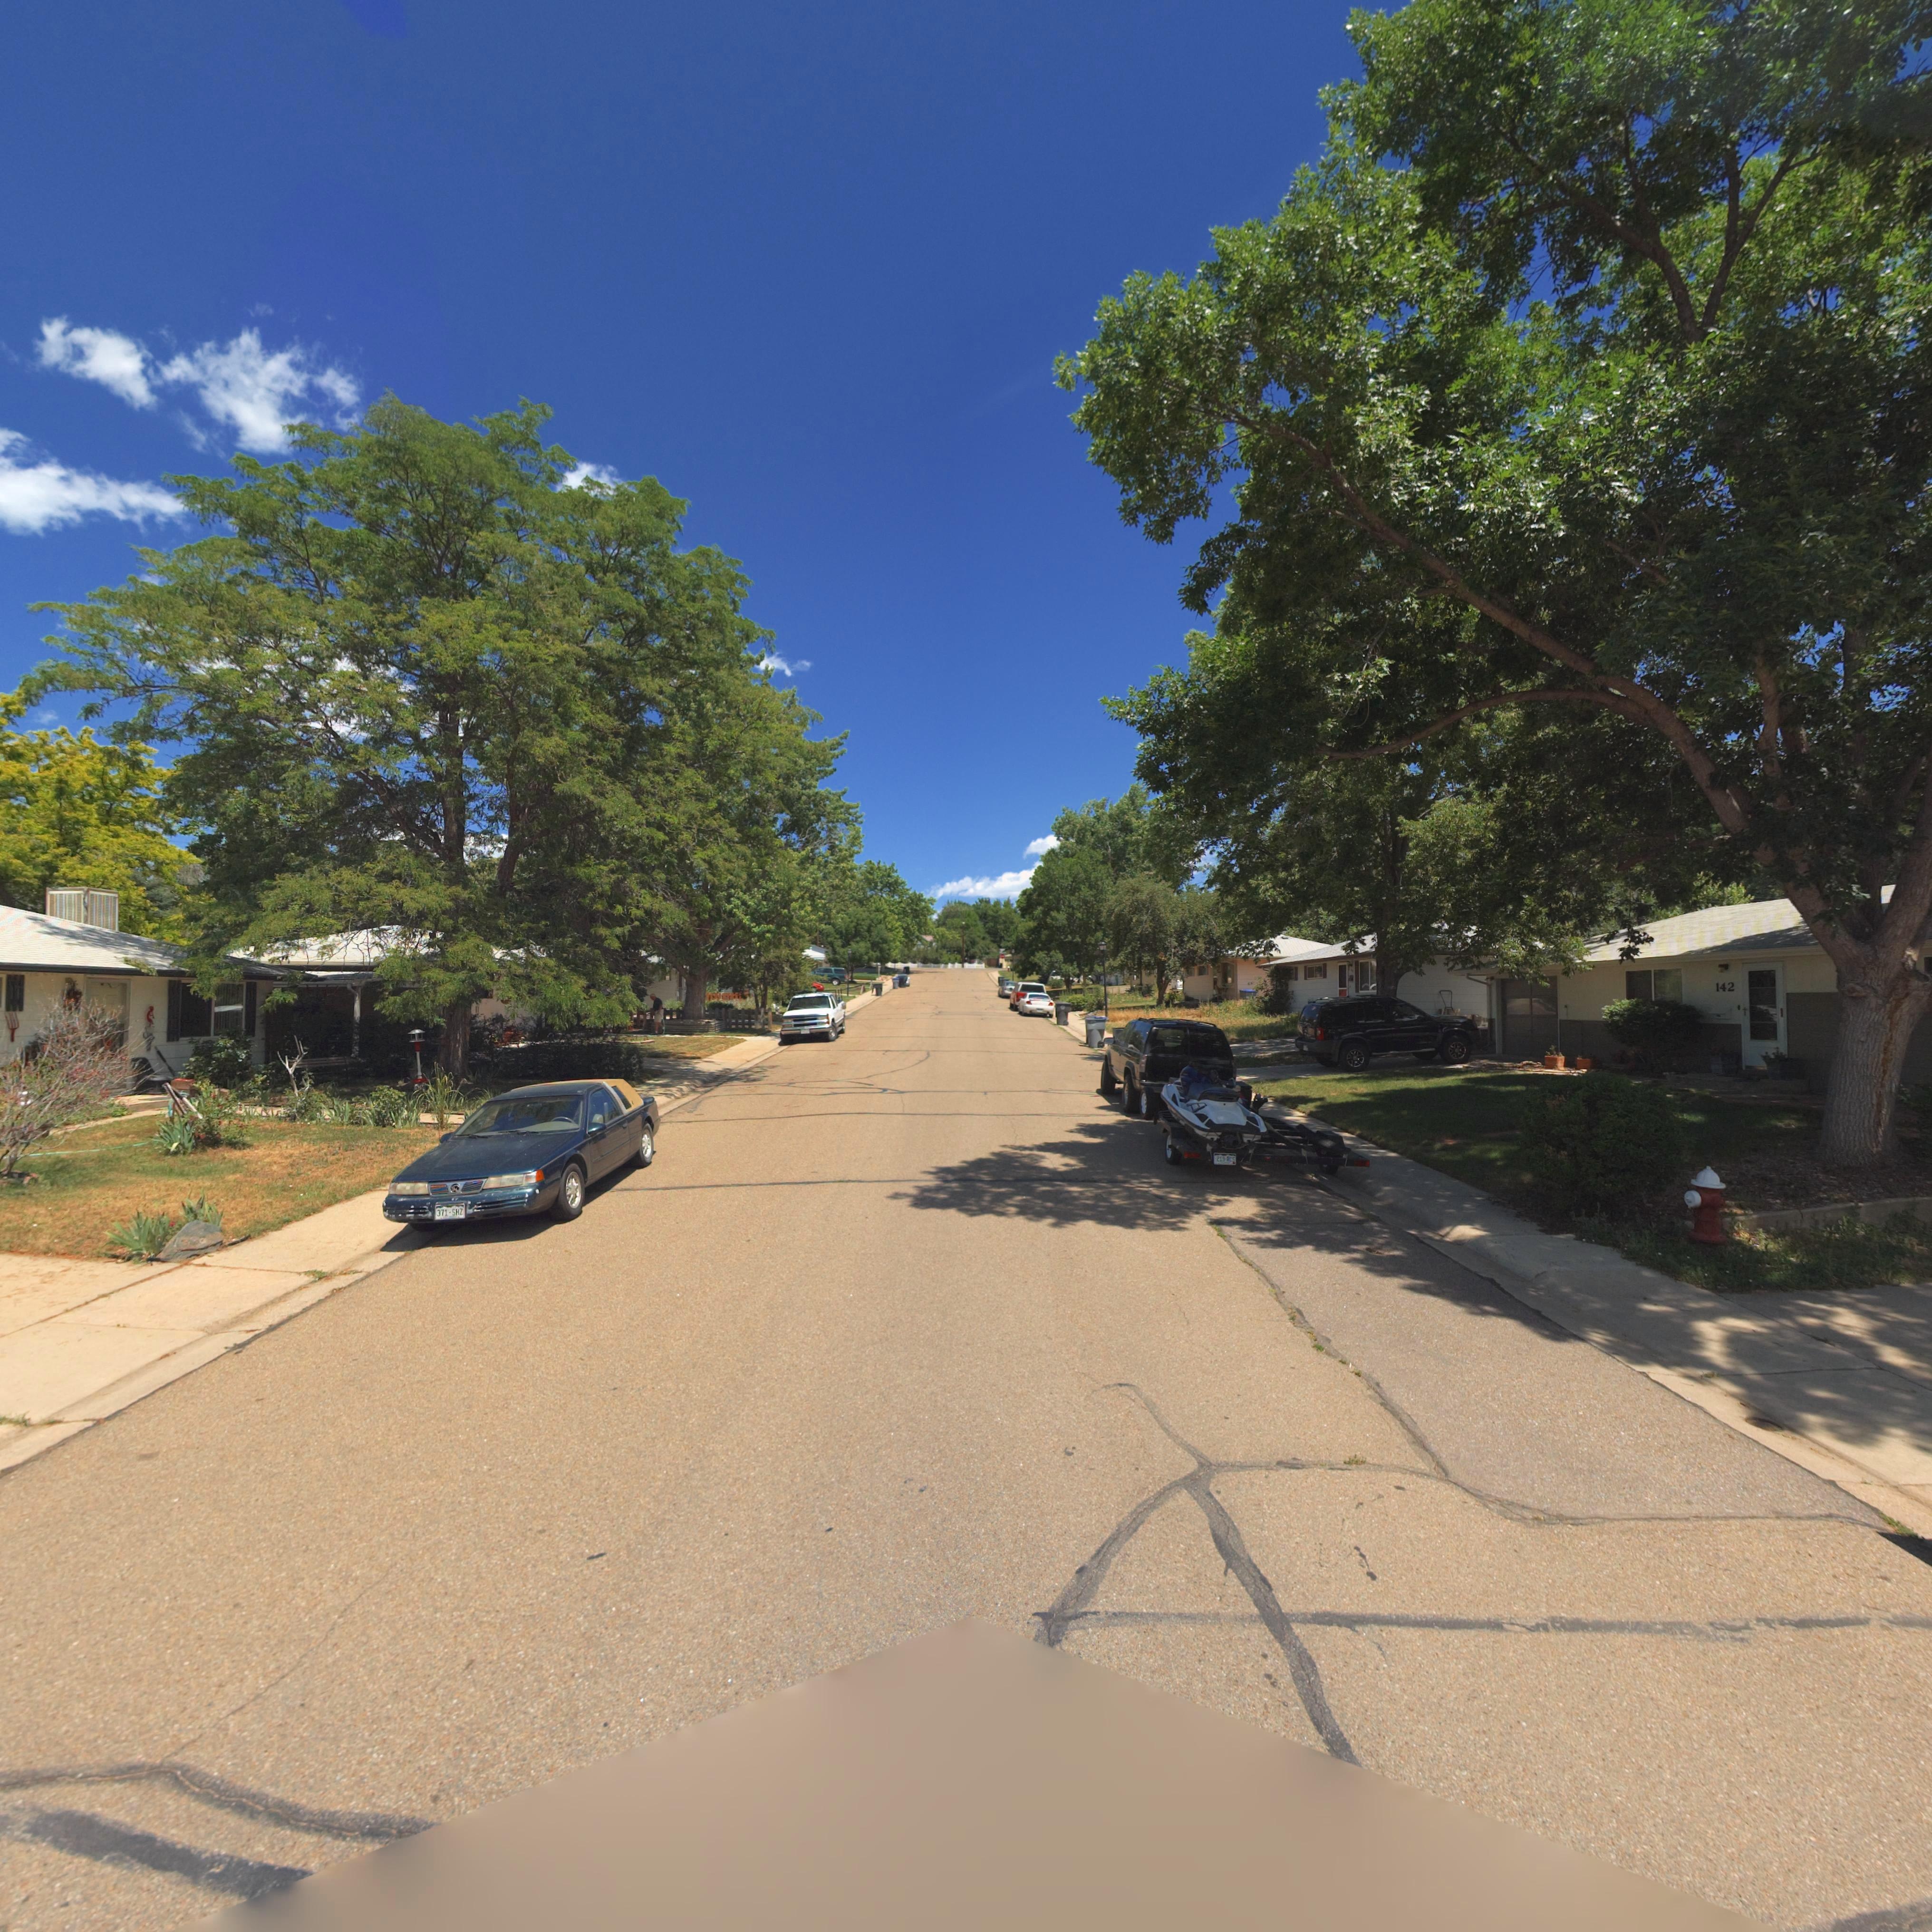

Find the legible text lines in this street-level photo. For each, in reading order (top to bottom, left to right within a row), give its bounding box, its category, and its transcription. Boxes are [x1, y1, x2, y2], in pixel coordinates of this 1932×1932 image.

[1715, 982, 1735, 992] StreetNumber: 142